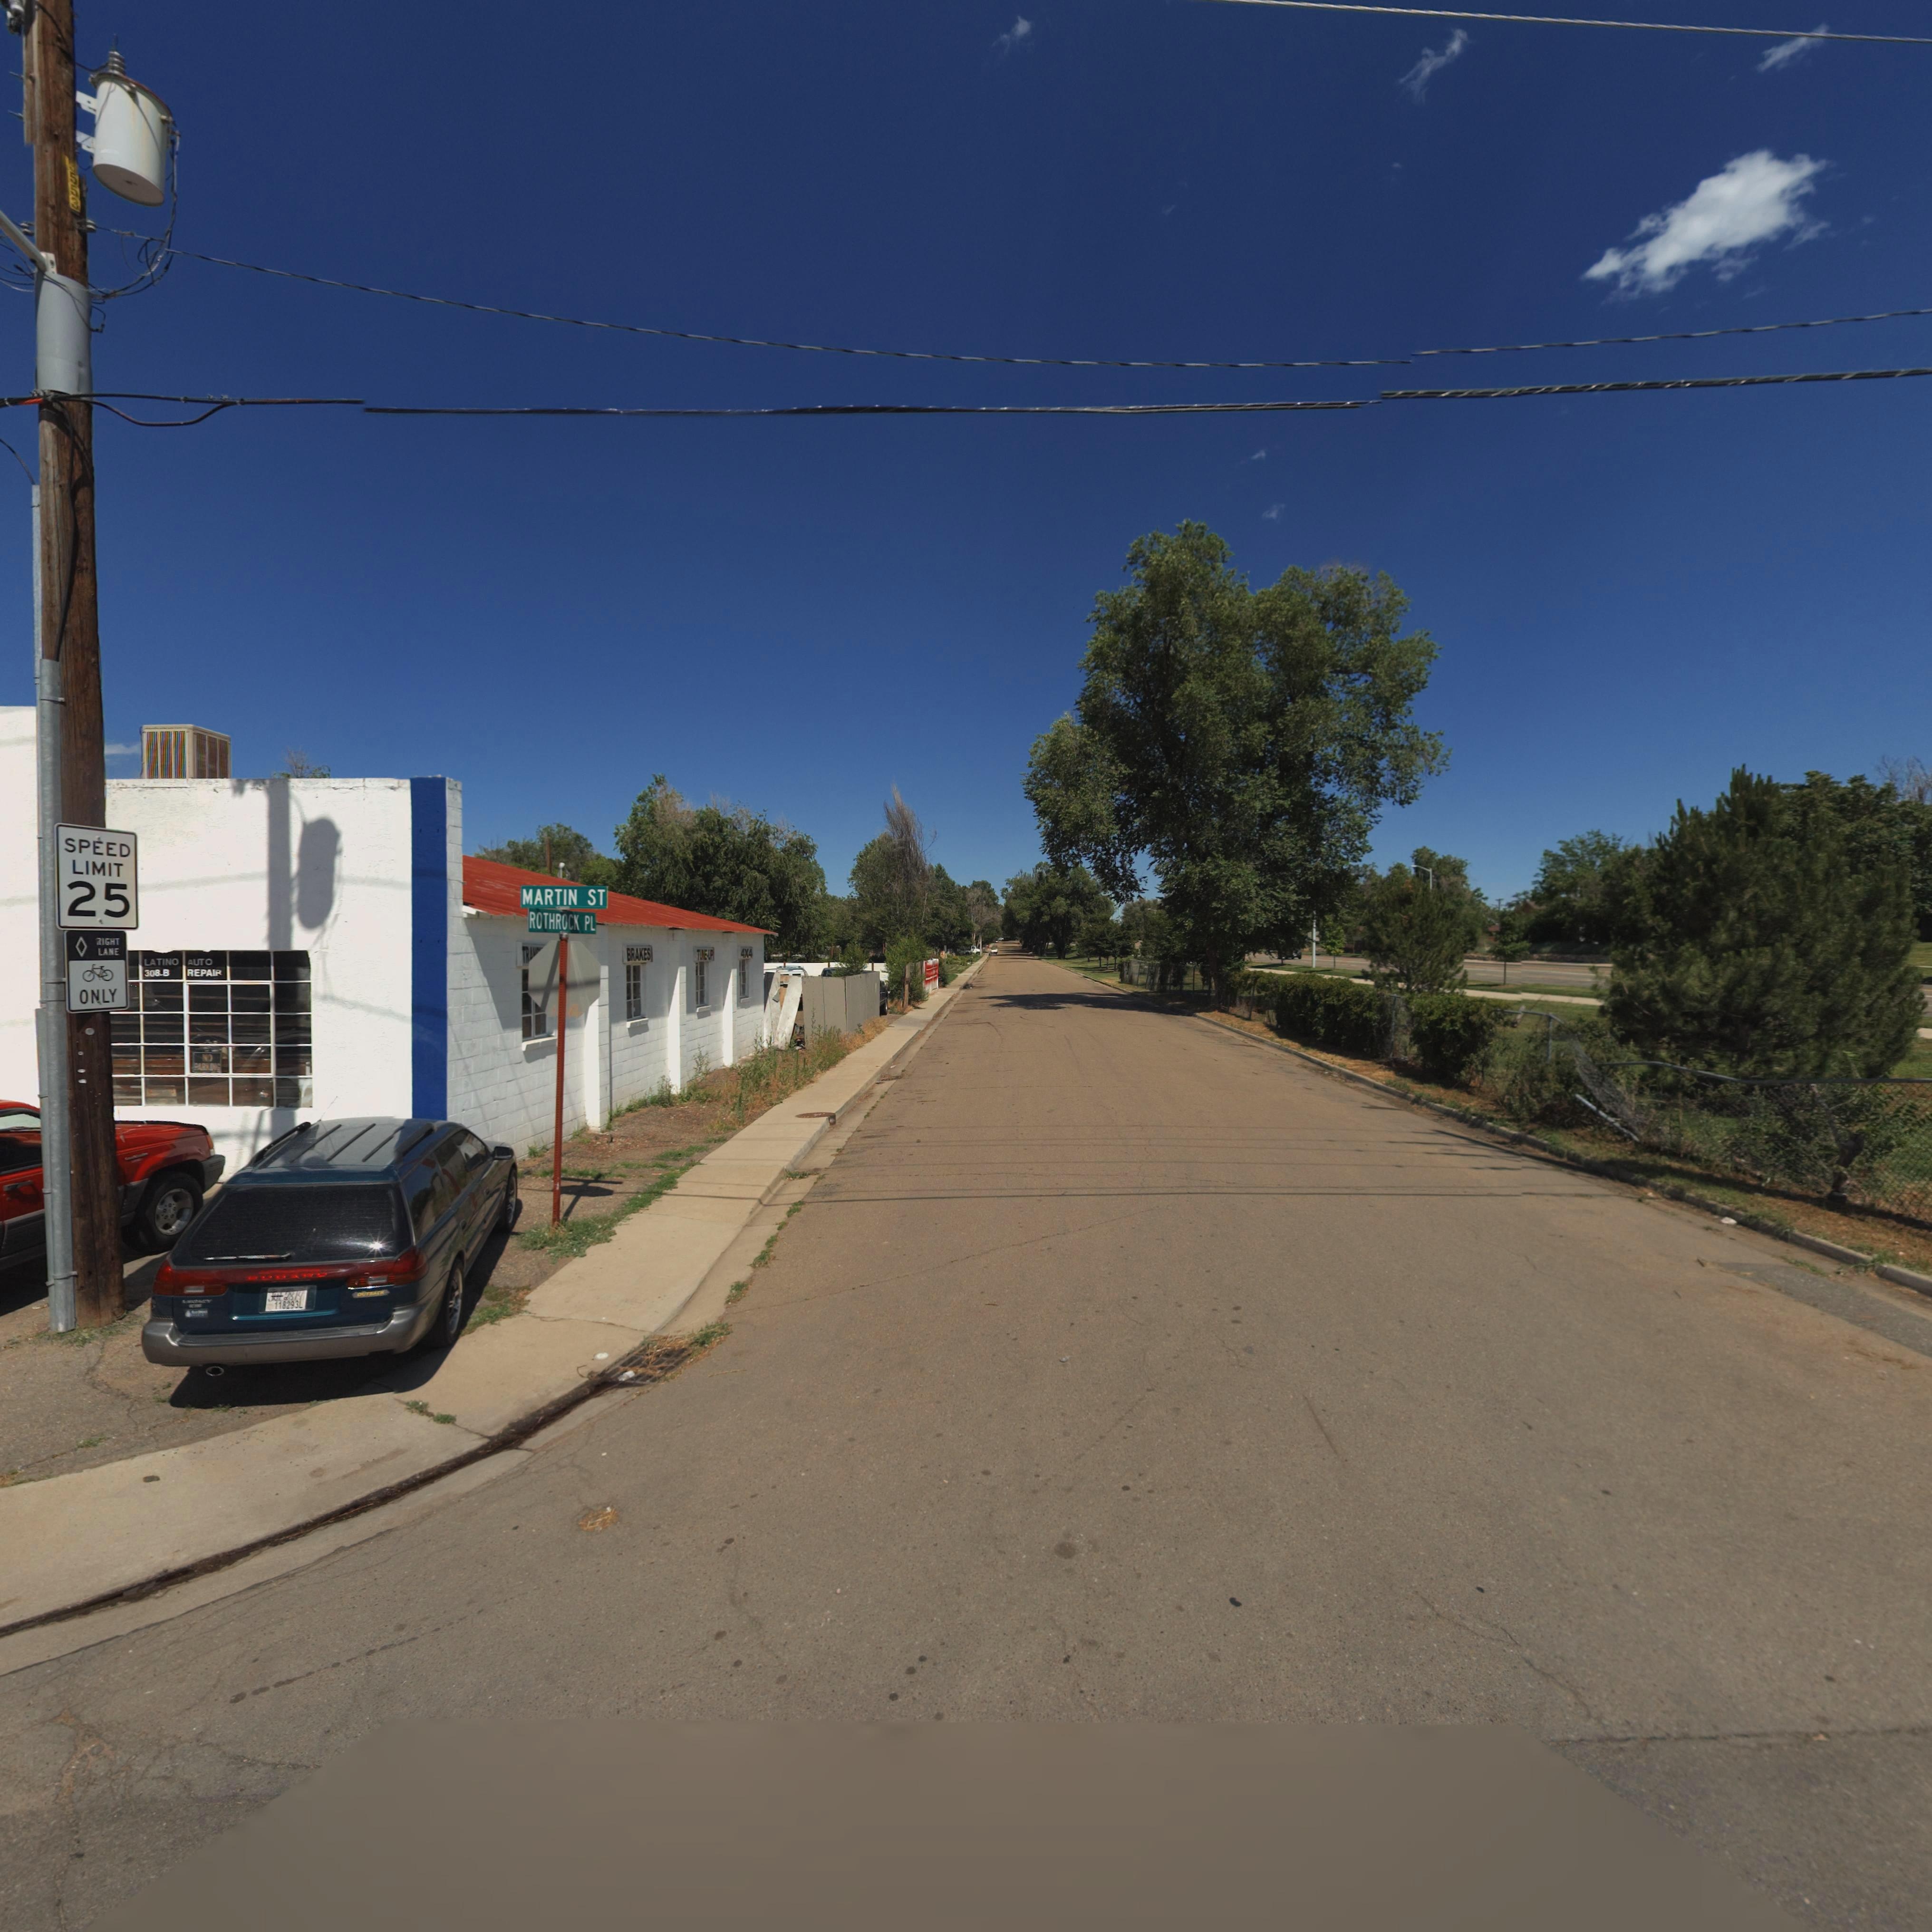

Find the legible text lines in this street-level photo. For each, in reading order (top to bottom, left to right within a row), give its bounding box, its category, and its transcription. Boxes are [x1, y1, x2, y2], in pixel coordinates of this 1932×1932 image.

[523, 889, 604, 906] StreetName: MARTIN ST
[529, 910, 596, 931] StreetName: ROTHROCK PL
[143, 957, 179, 966] BusinessName: LATINO
[187, 958, 213, 966] BusinessName: AUTO
[186, 968, 223, 976] BusinessName: REPAIR